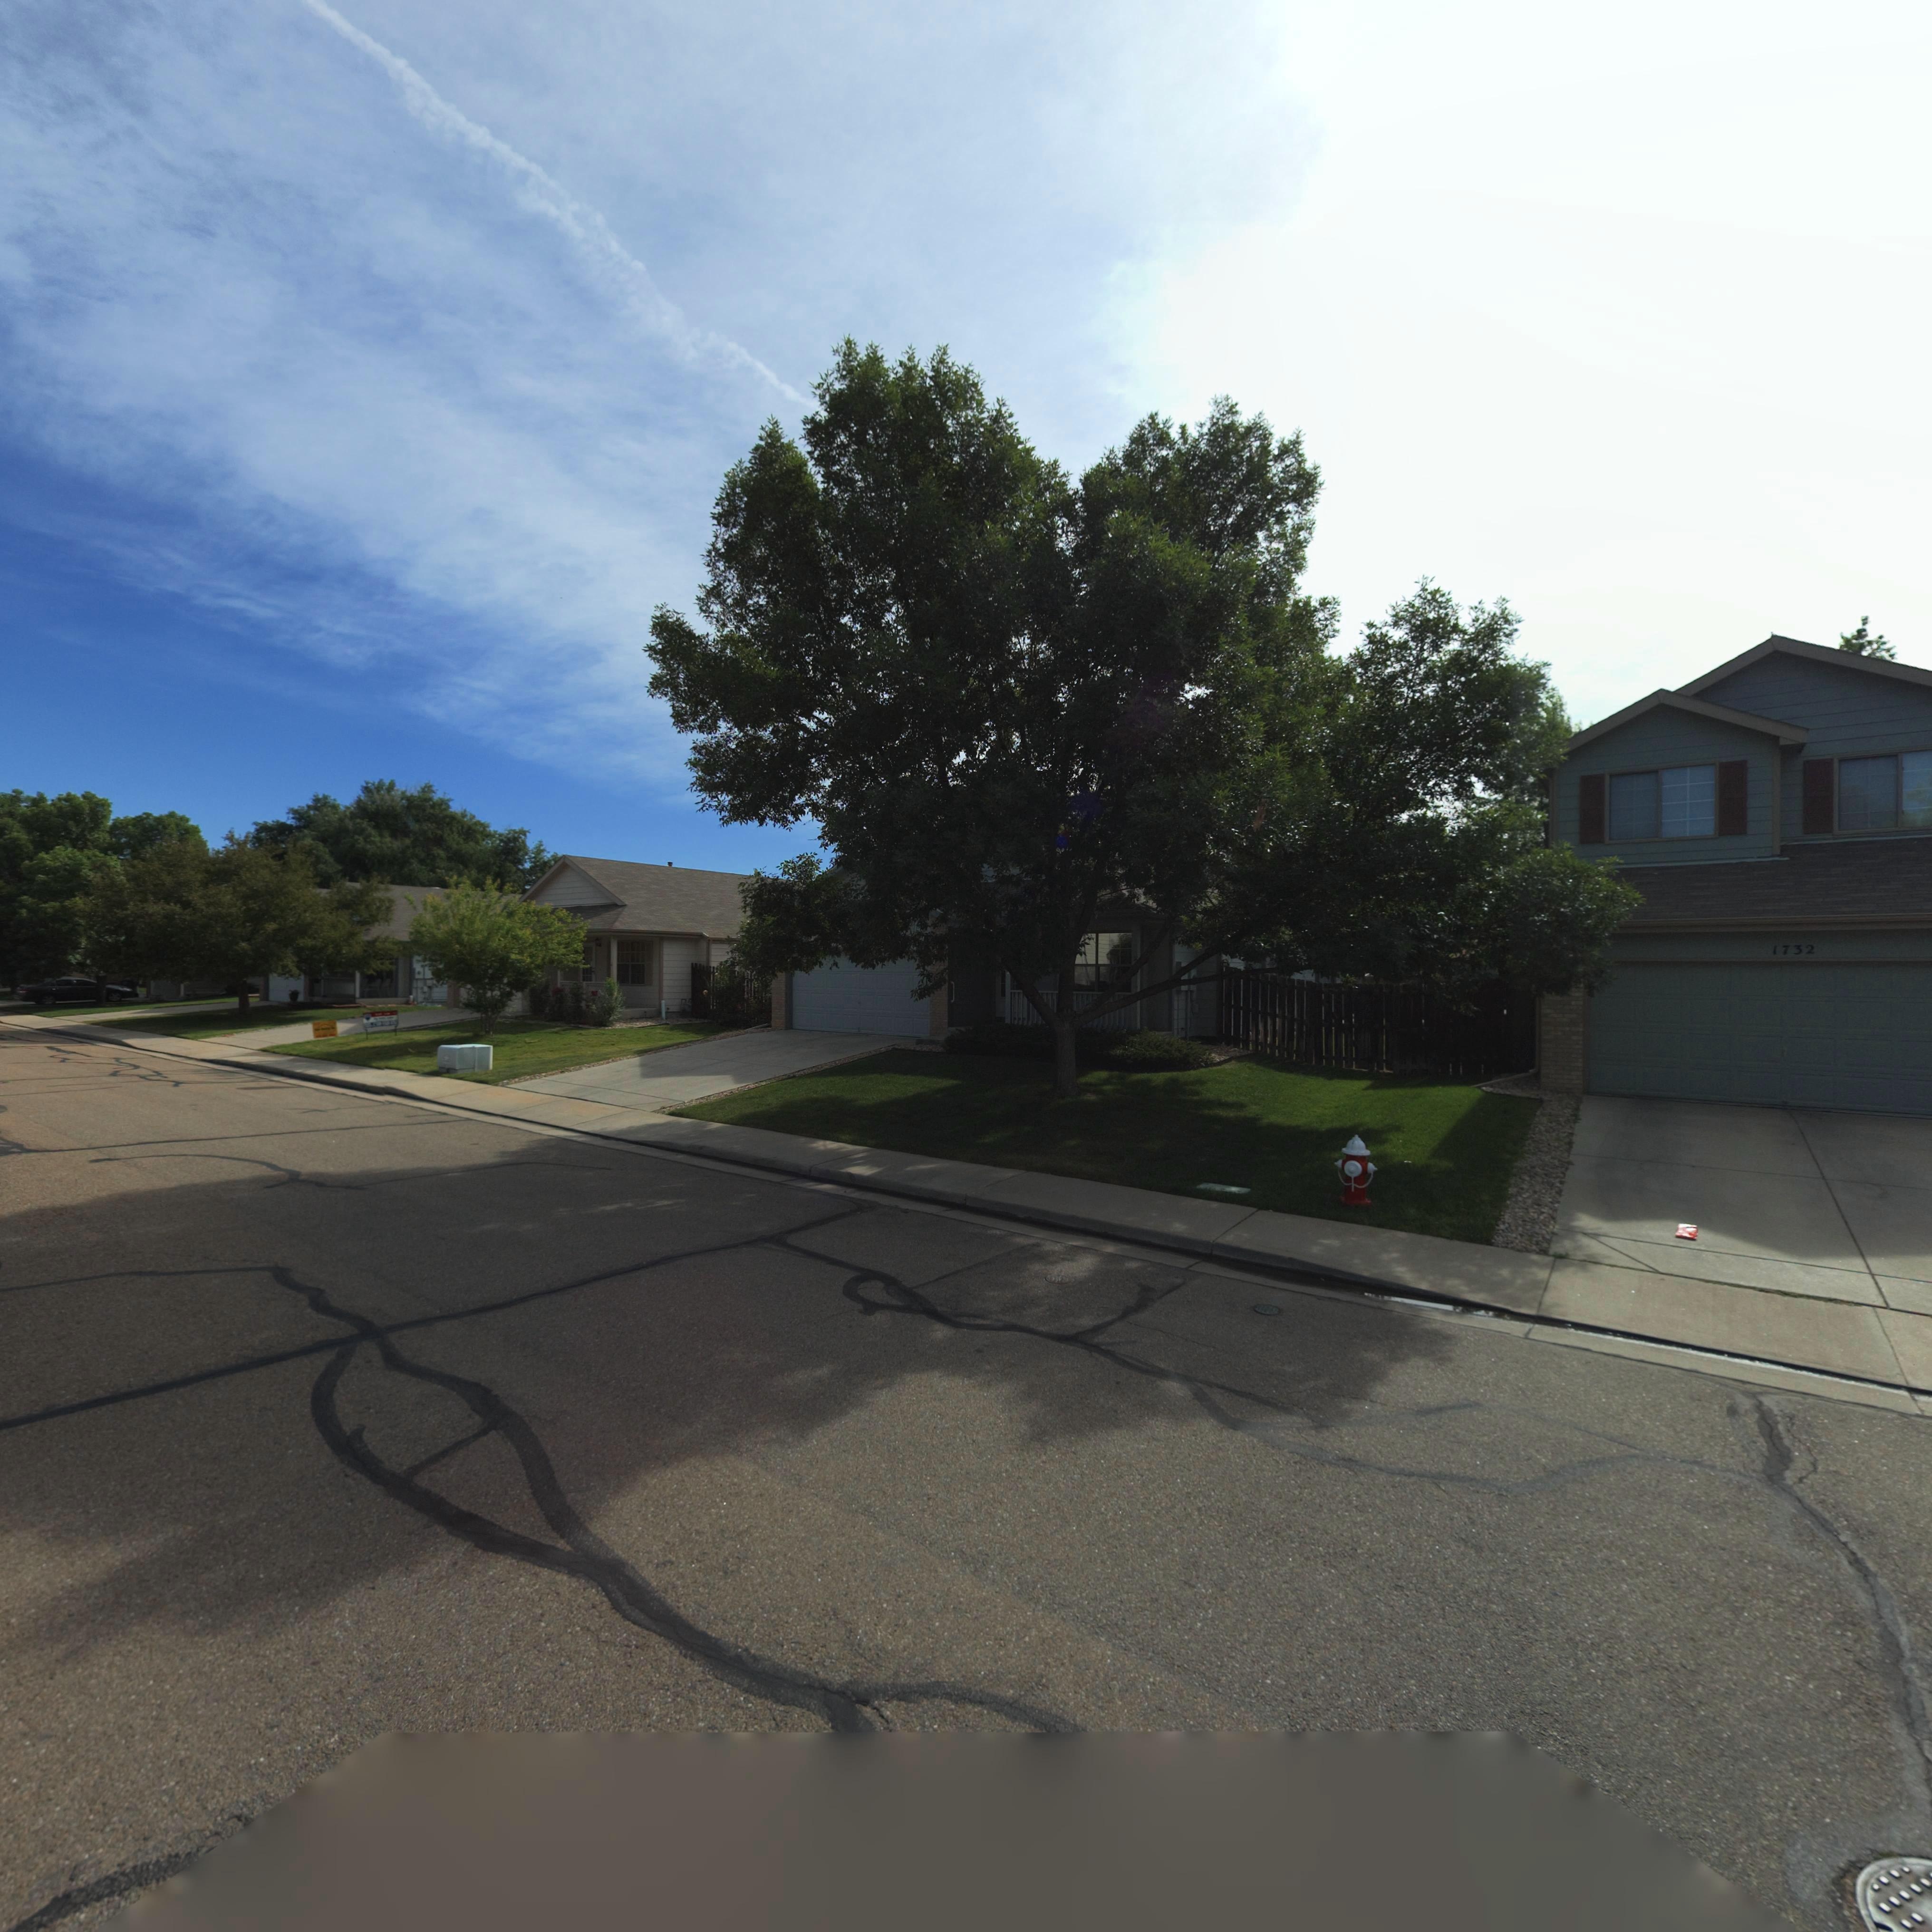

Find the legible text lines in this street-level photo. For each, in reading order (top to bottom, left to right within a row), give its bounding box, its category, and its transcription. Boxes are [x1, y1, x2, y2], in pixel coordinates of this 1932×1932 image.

[1772, 943, 1816, 955] StreetNumber: 1732